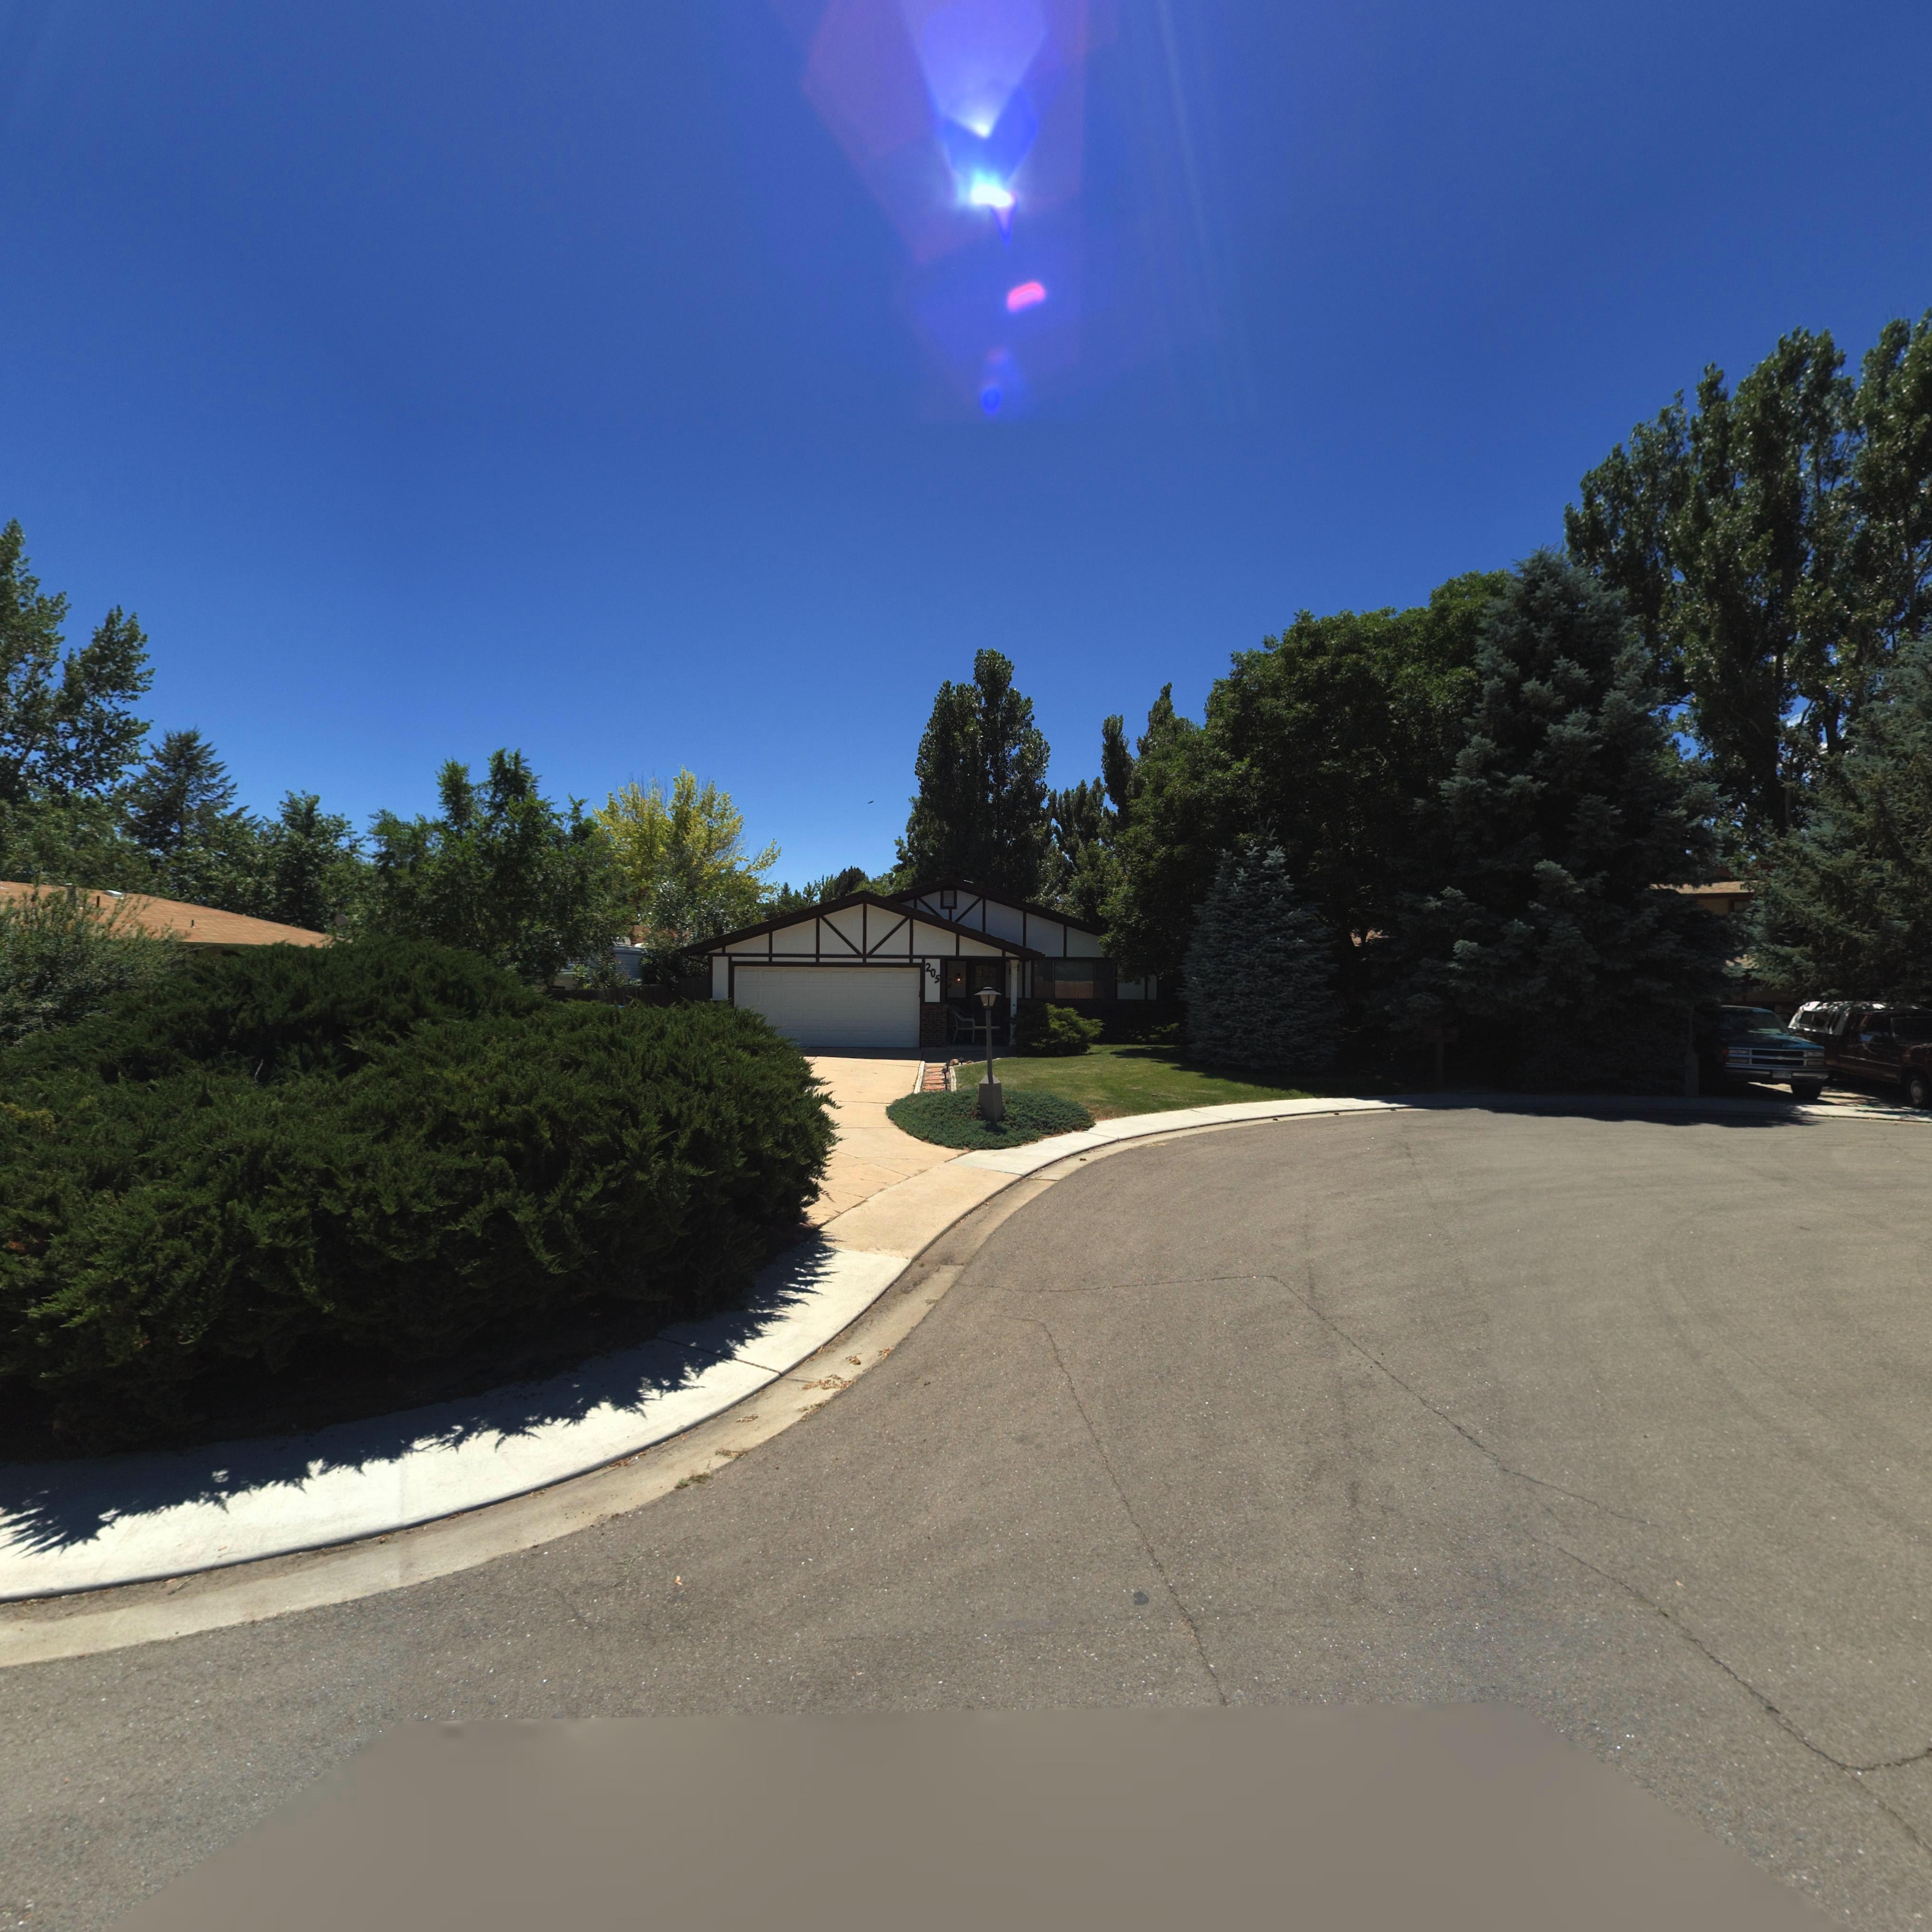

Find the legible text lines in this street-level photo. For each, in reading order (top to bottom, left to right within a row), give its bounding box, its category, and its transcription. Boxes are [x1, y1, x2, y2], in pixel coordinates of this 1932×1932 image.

[925, 962, 940, 984] StreetNumber: 205